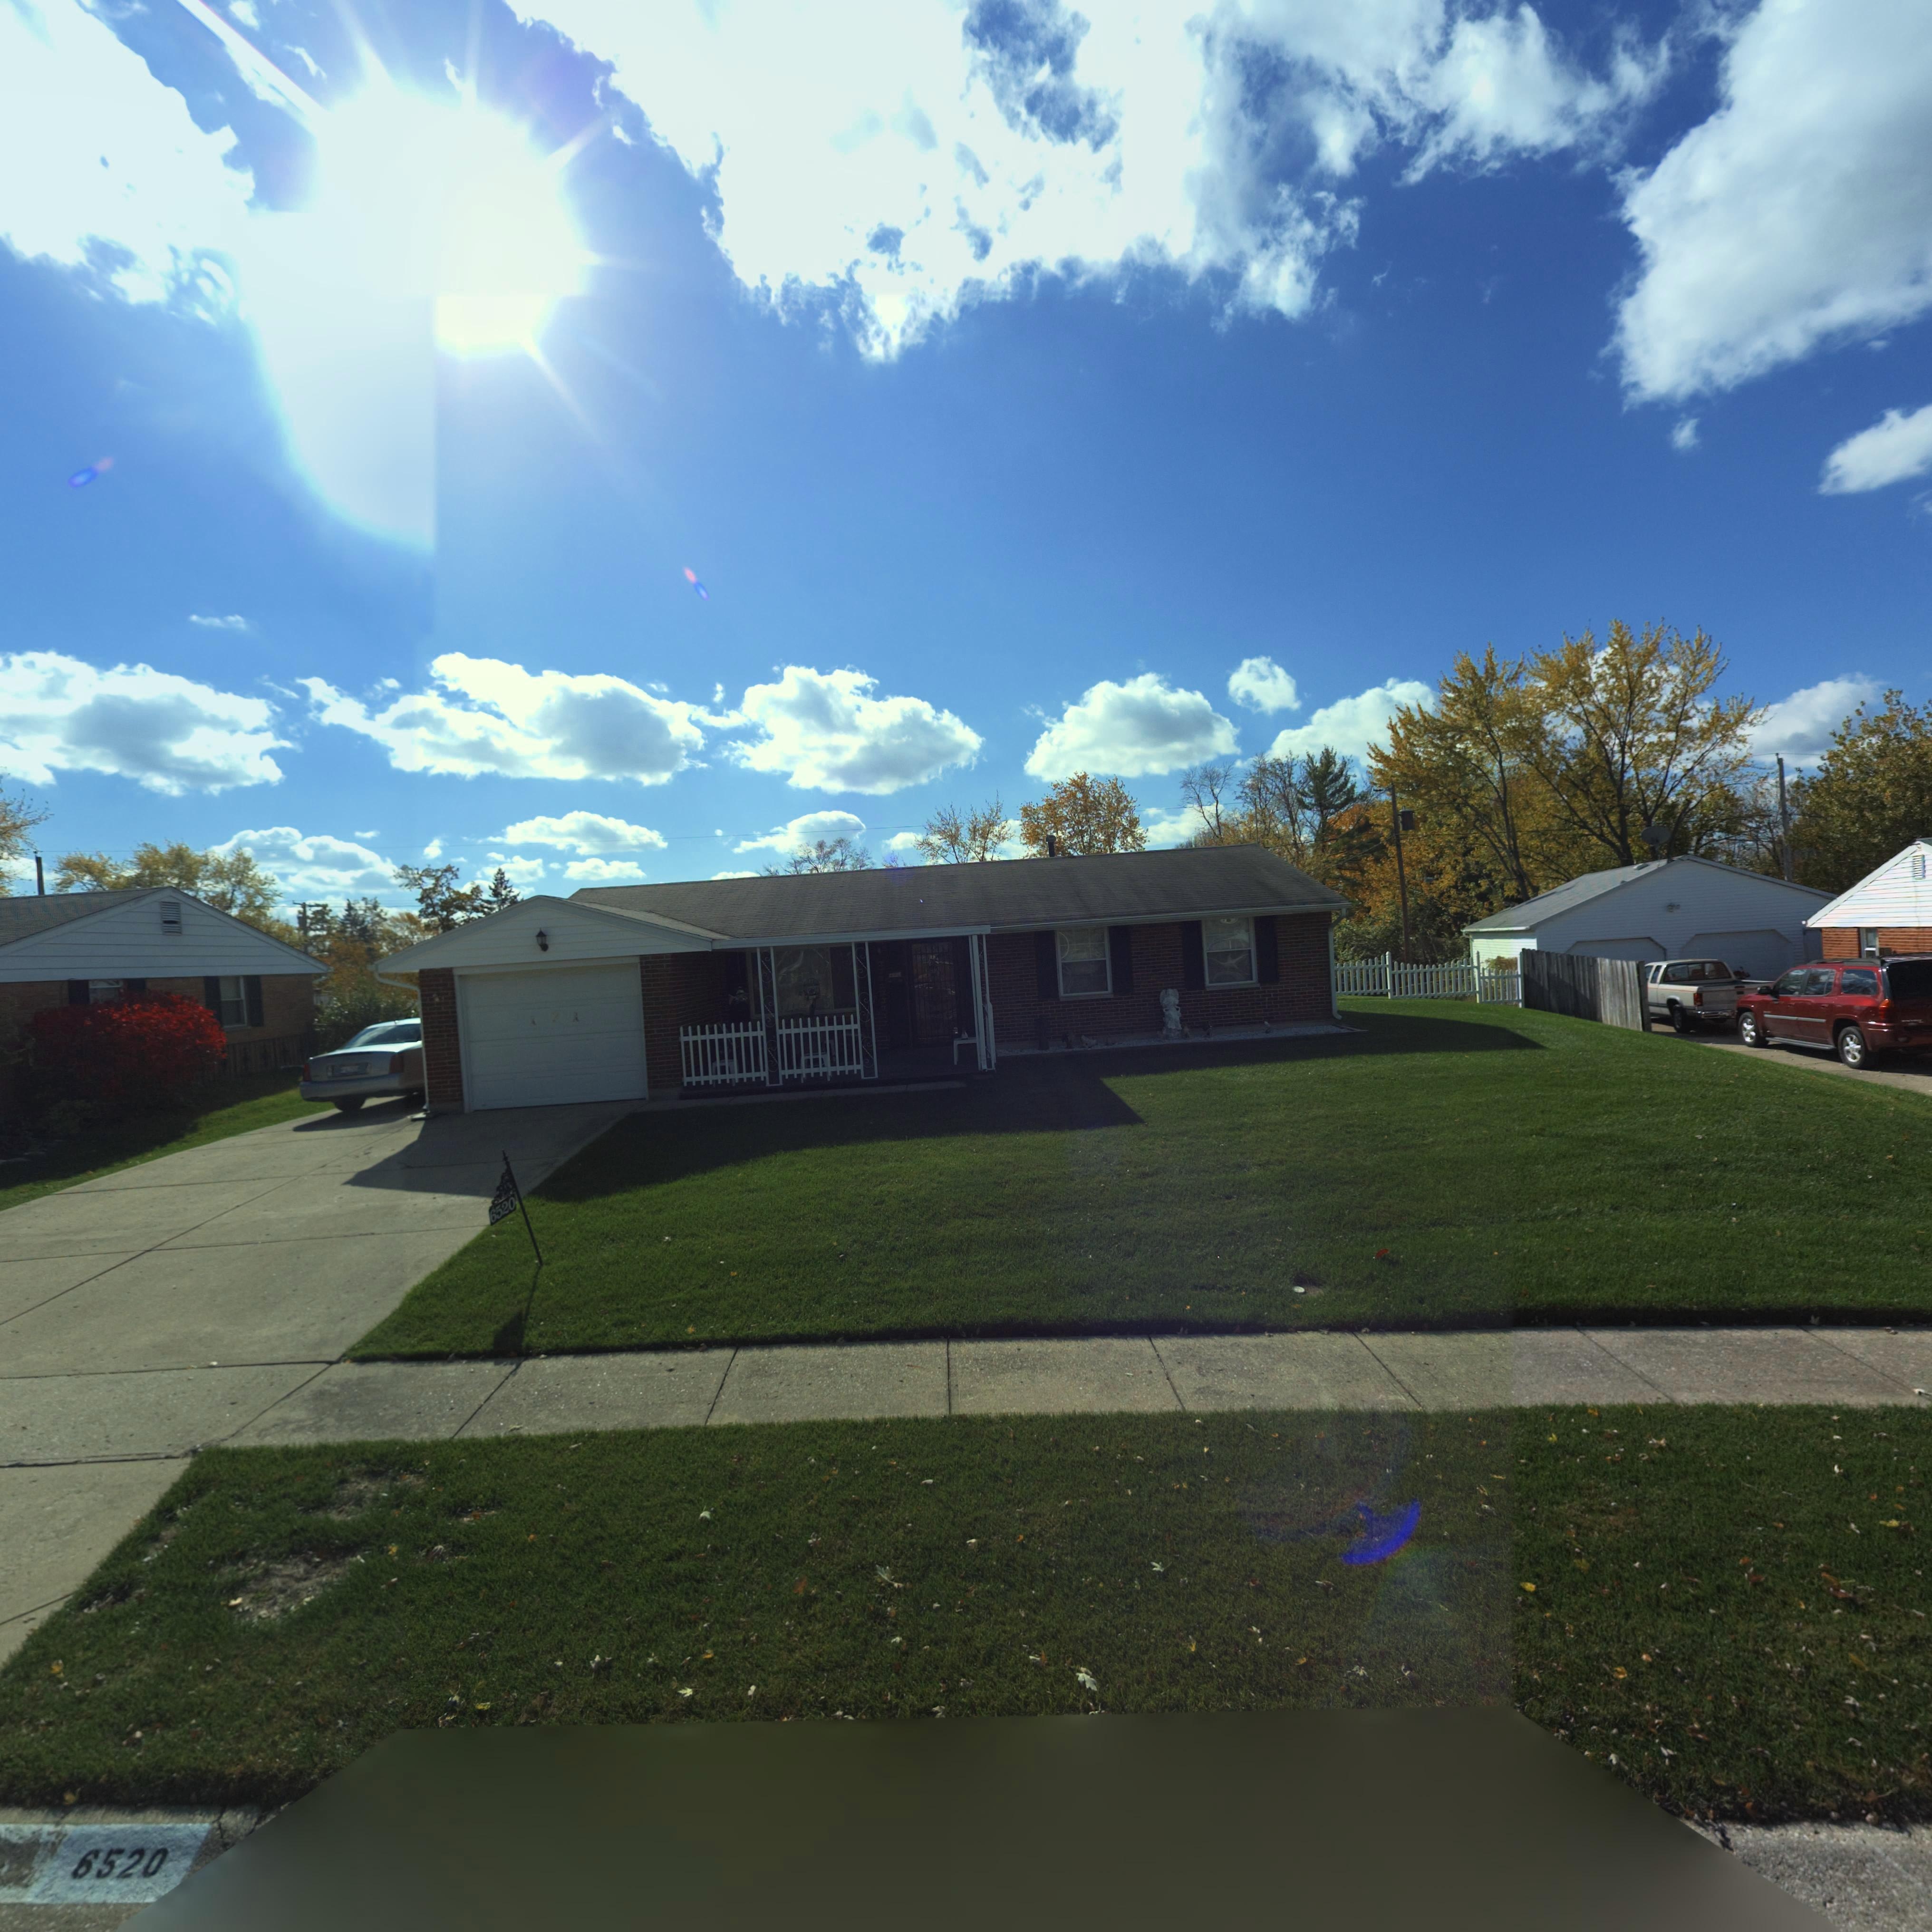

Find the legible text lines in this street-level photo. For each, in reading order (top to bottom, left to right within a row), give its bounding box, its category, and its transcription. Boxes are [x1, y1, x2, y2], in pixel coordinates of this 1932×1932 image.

[489, 1196, 517, 1224] StreetNumber: 6520
[69, 1847, 170, 1880] StreetNumber: 6520